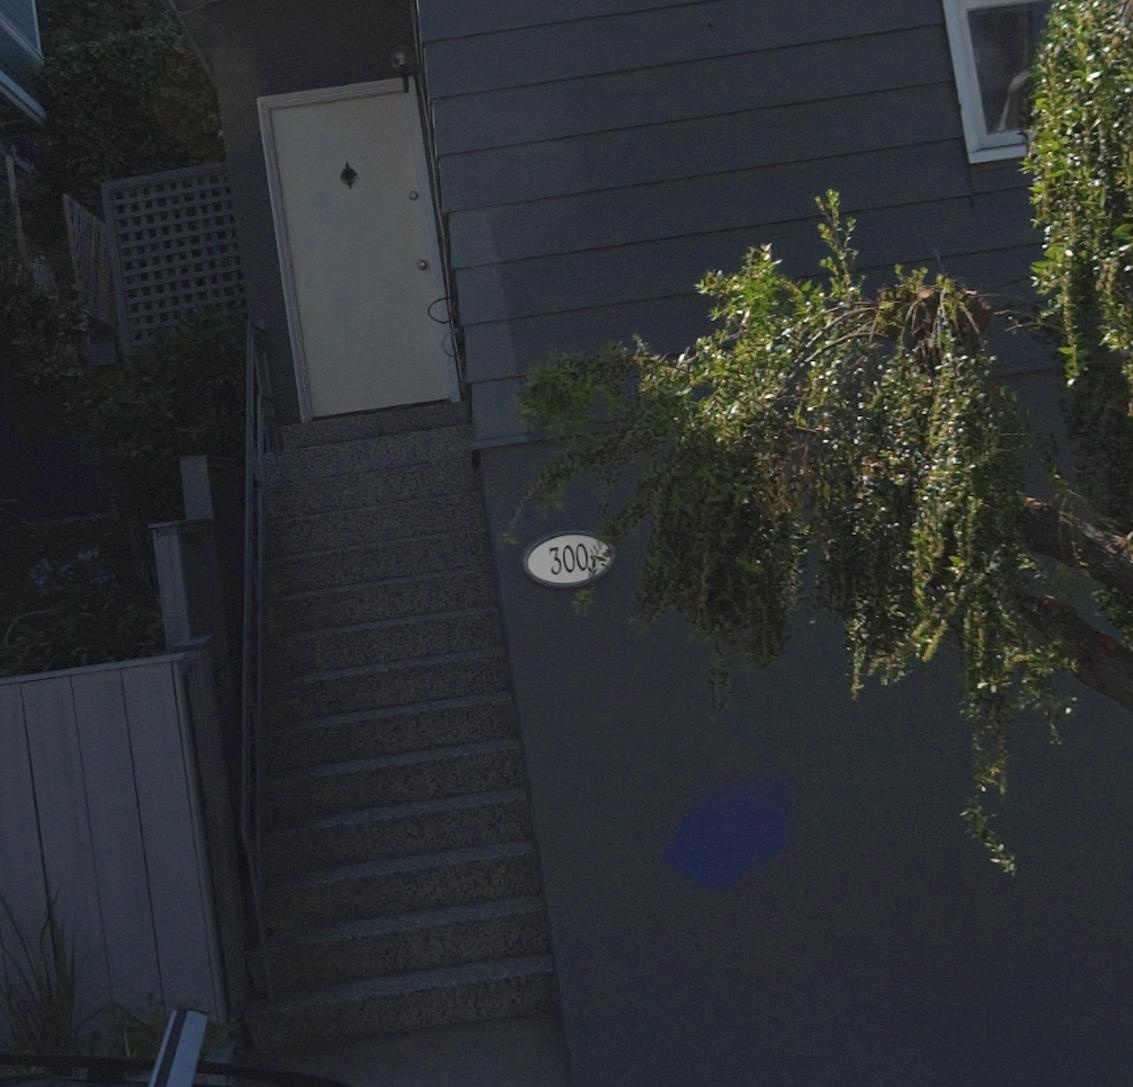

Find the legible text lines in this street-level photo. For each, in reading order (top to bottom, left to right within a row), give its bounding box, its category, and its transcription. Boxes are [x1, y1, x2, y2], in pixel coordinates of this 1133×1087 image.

[547, 541, 590, 577] StreetNumber: 300